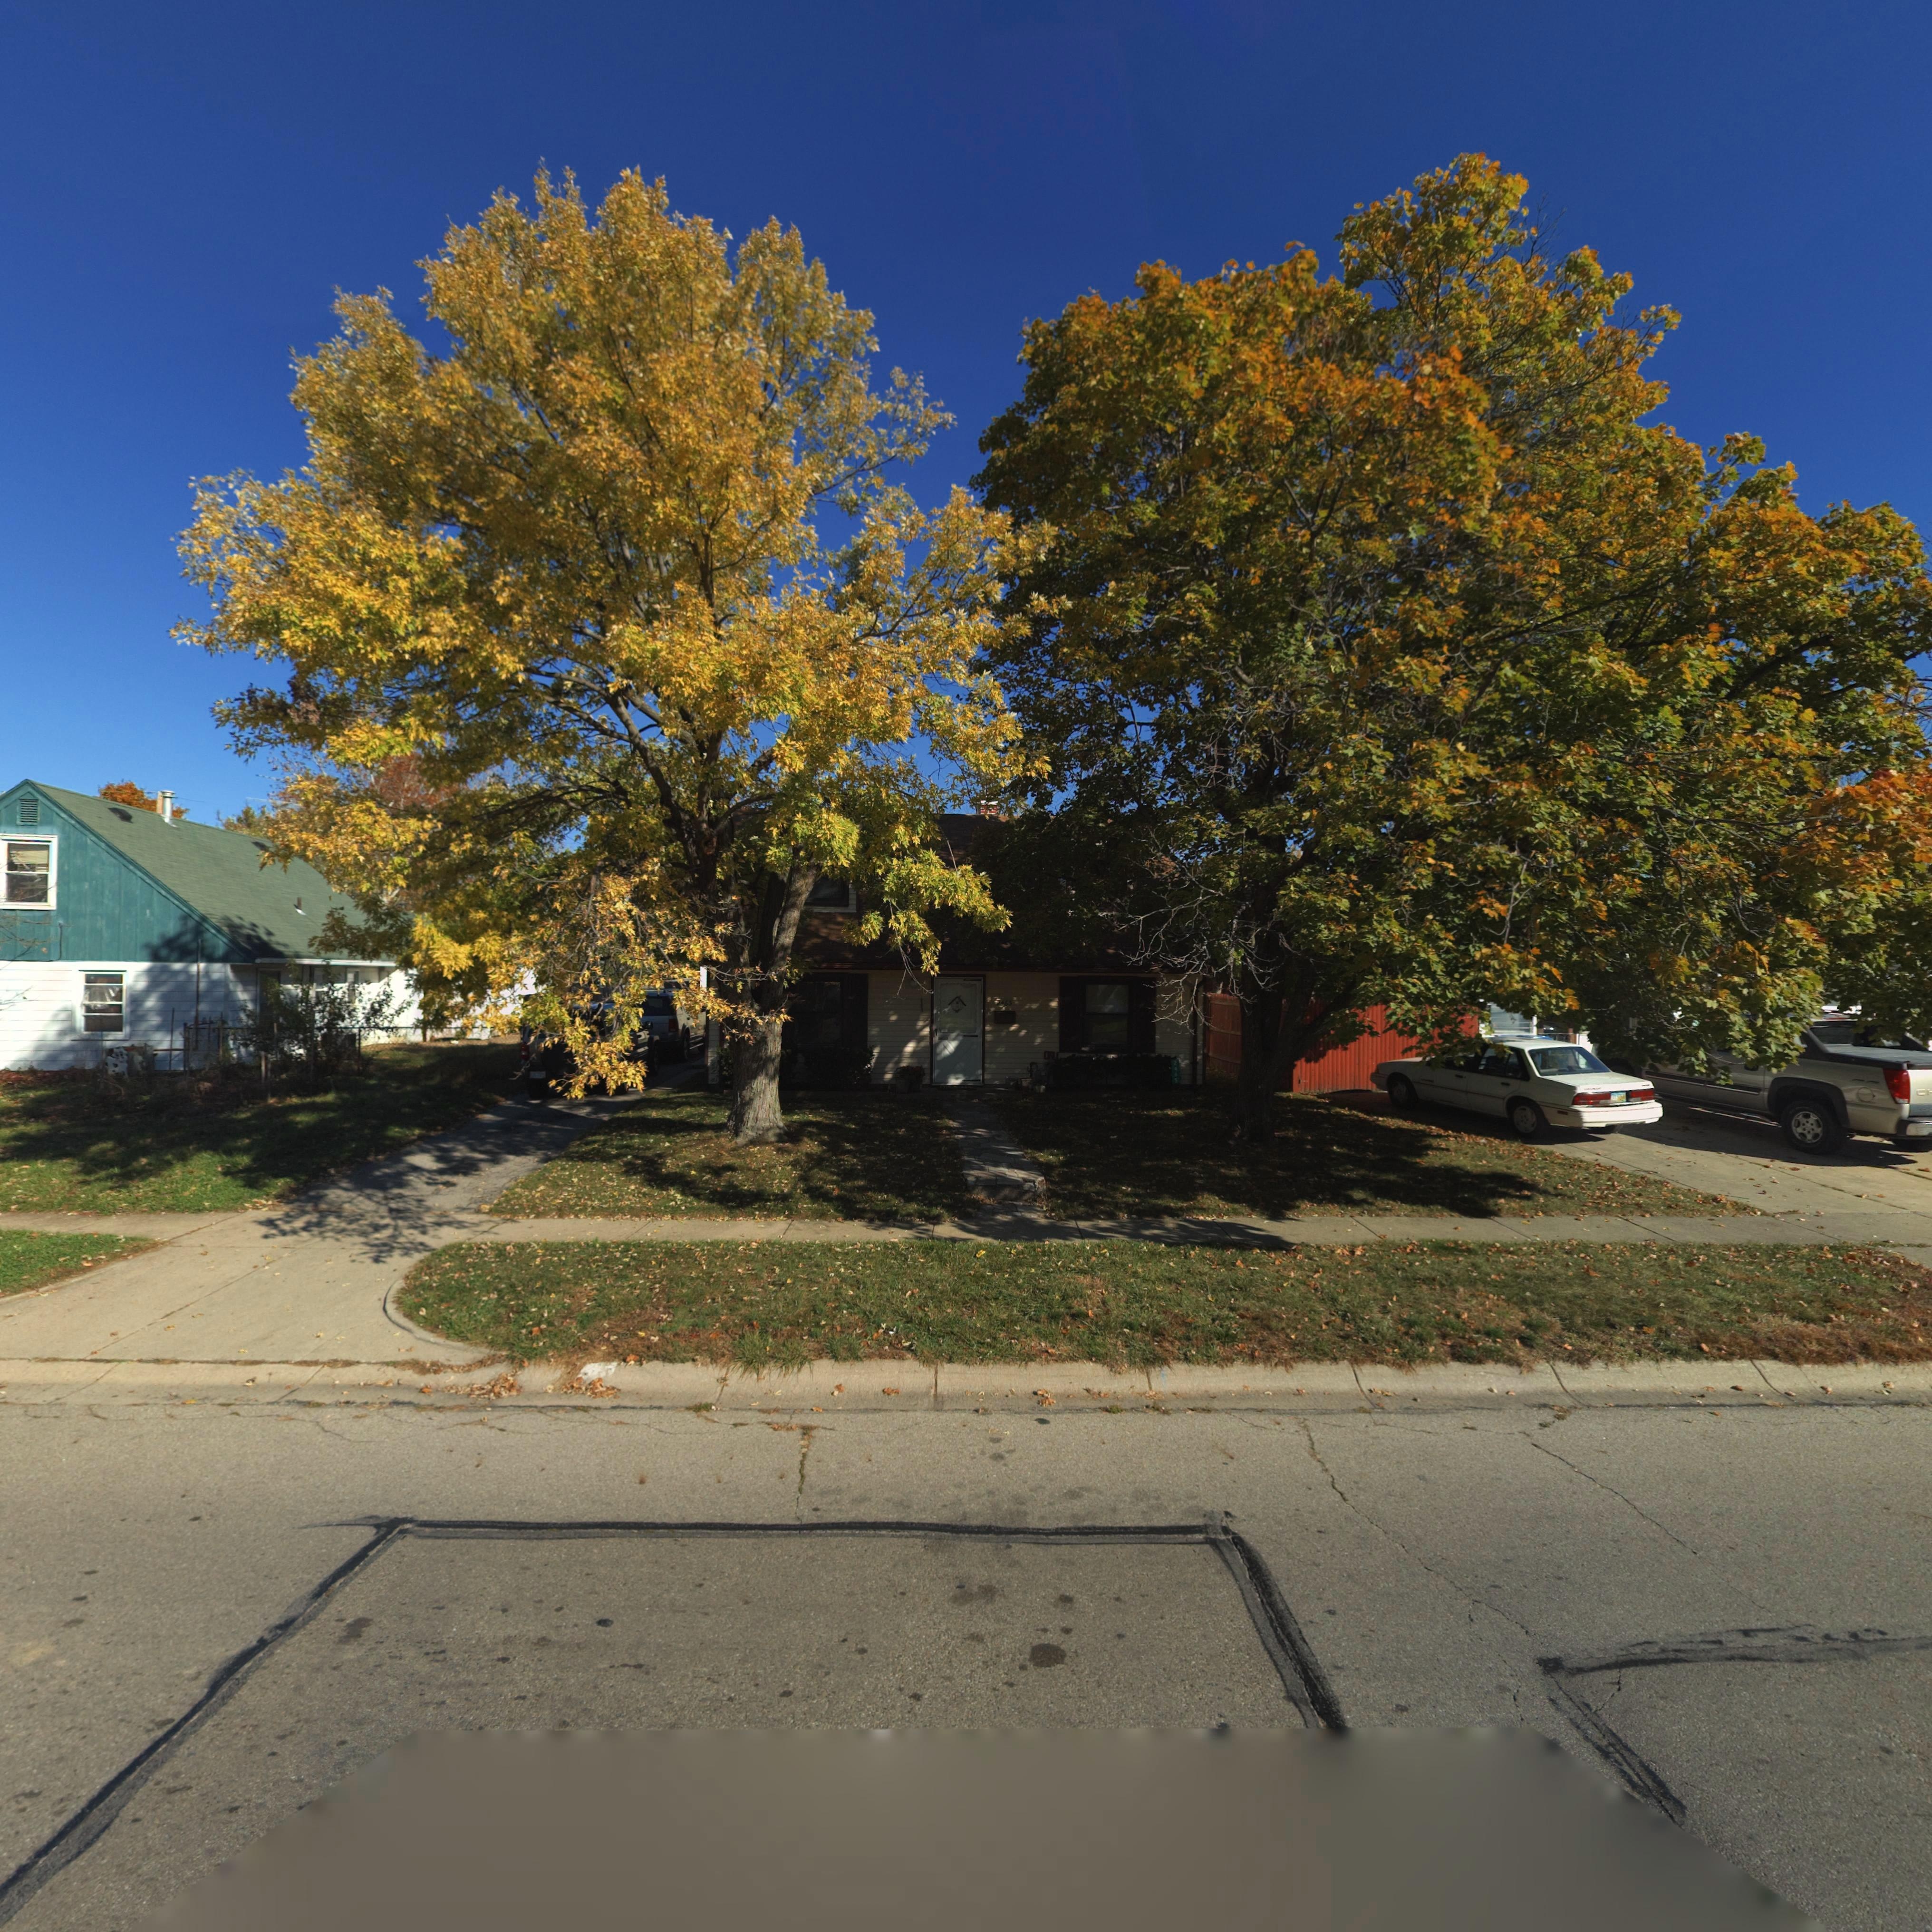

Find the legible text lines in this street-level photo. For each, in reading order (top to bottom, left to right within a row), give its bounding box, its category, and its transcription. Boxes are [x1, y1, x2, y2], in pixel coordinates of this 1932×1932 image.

[996, 999, 1013, 1006] StreetNumber: 2465